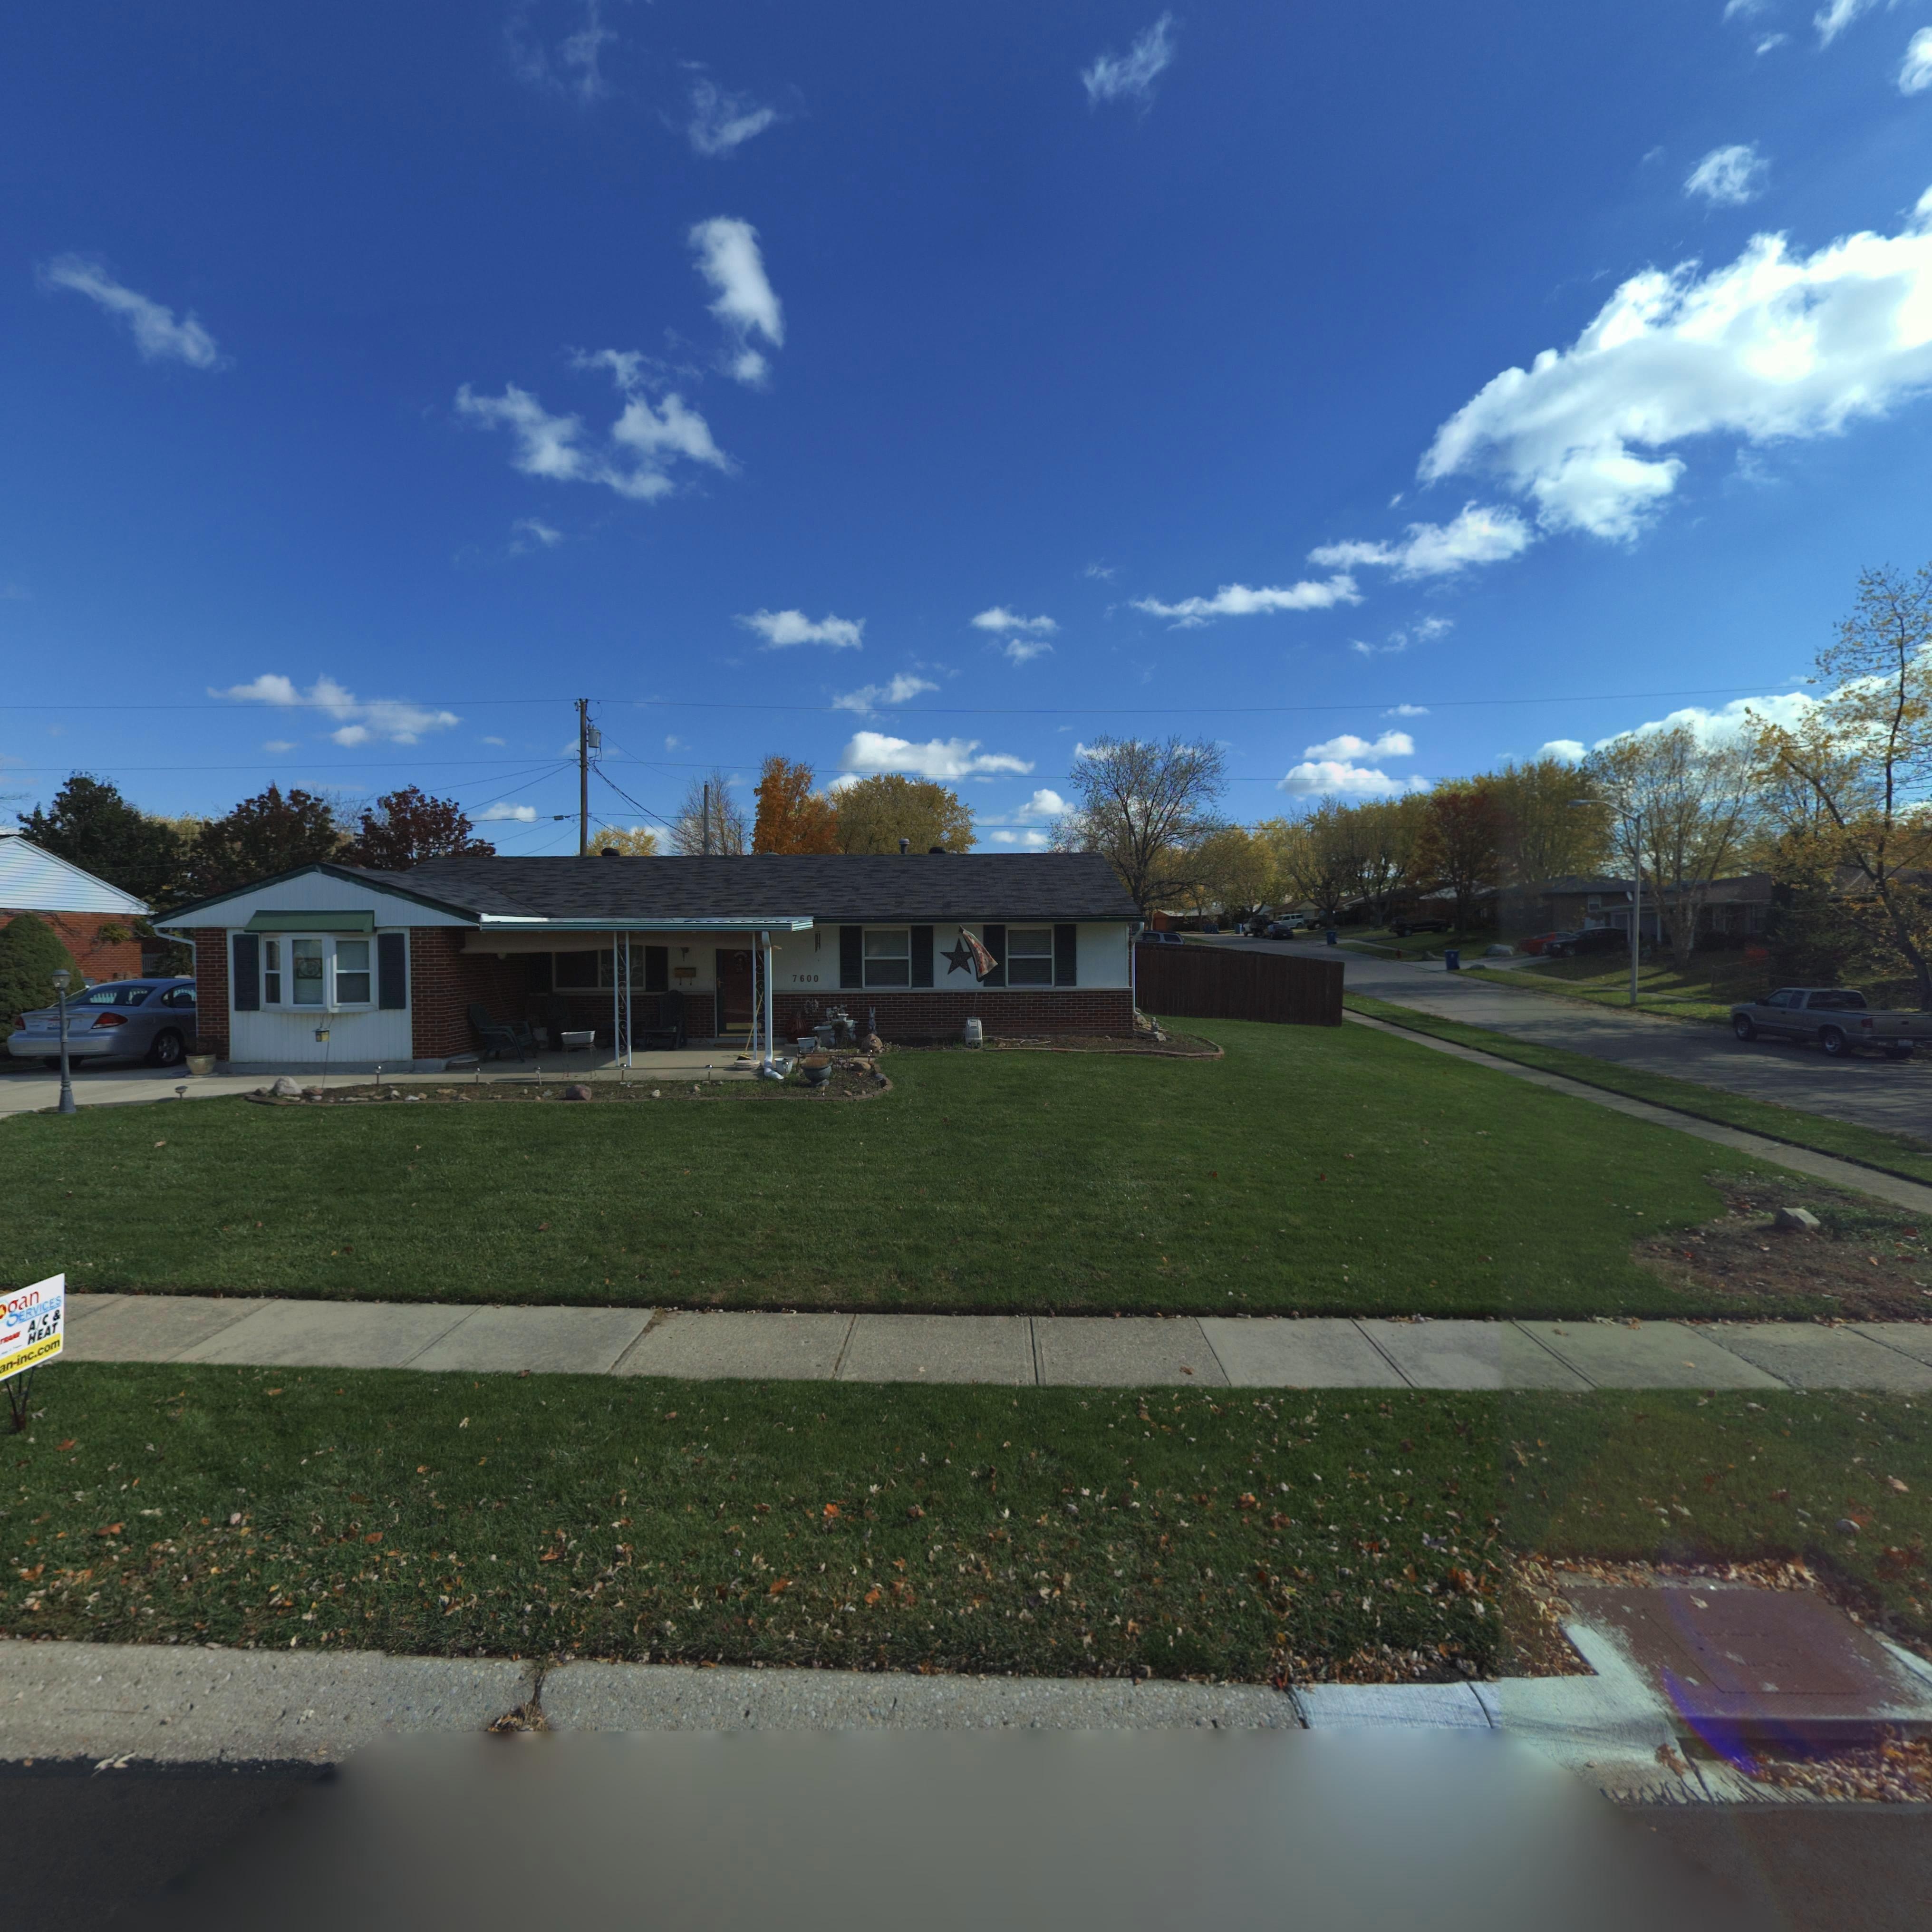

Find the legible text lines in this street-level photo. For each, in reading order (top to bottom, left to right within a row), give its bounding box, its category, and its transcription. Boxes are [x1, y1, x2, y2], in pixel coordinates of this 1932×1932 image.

[792, 974, 819, 984] StreetNumber: 7600